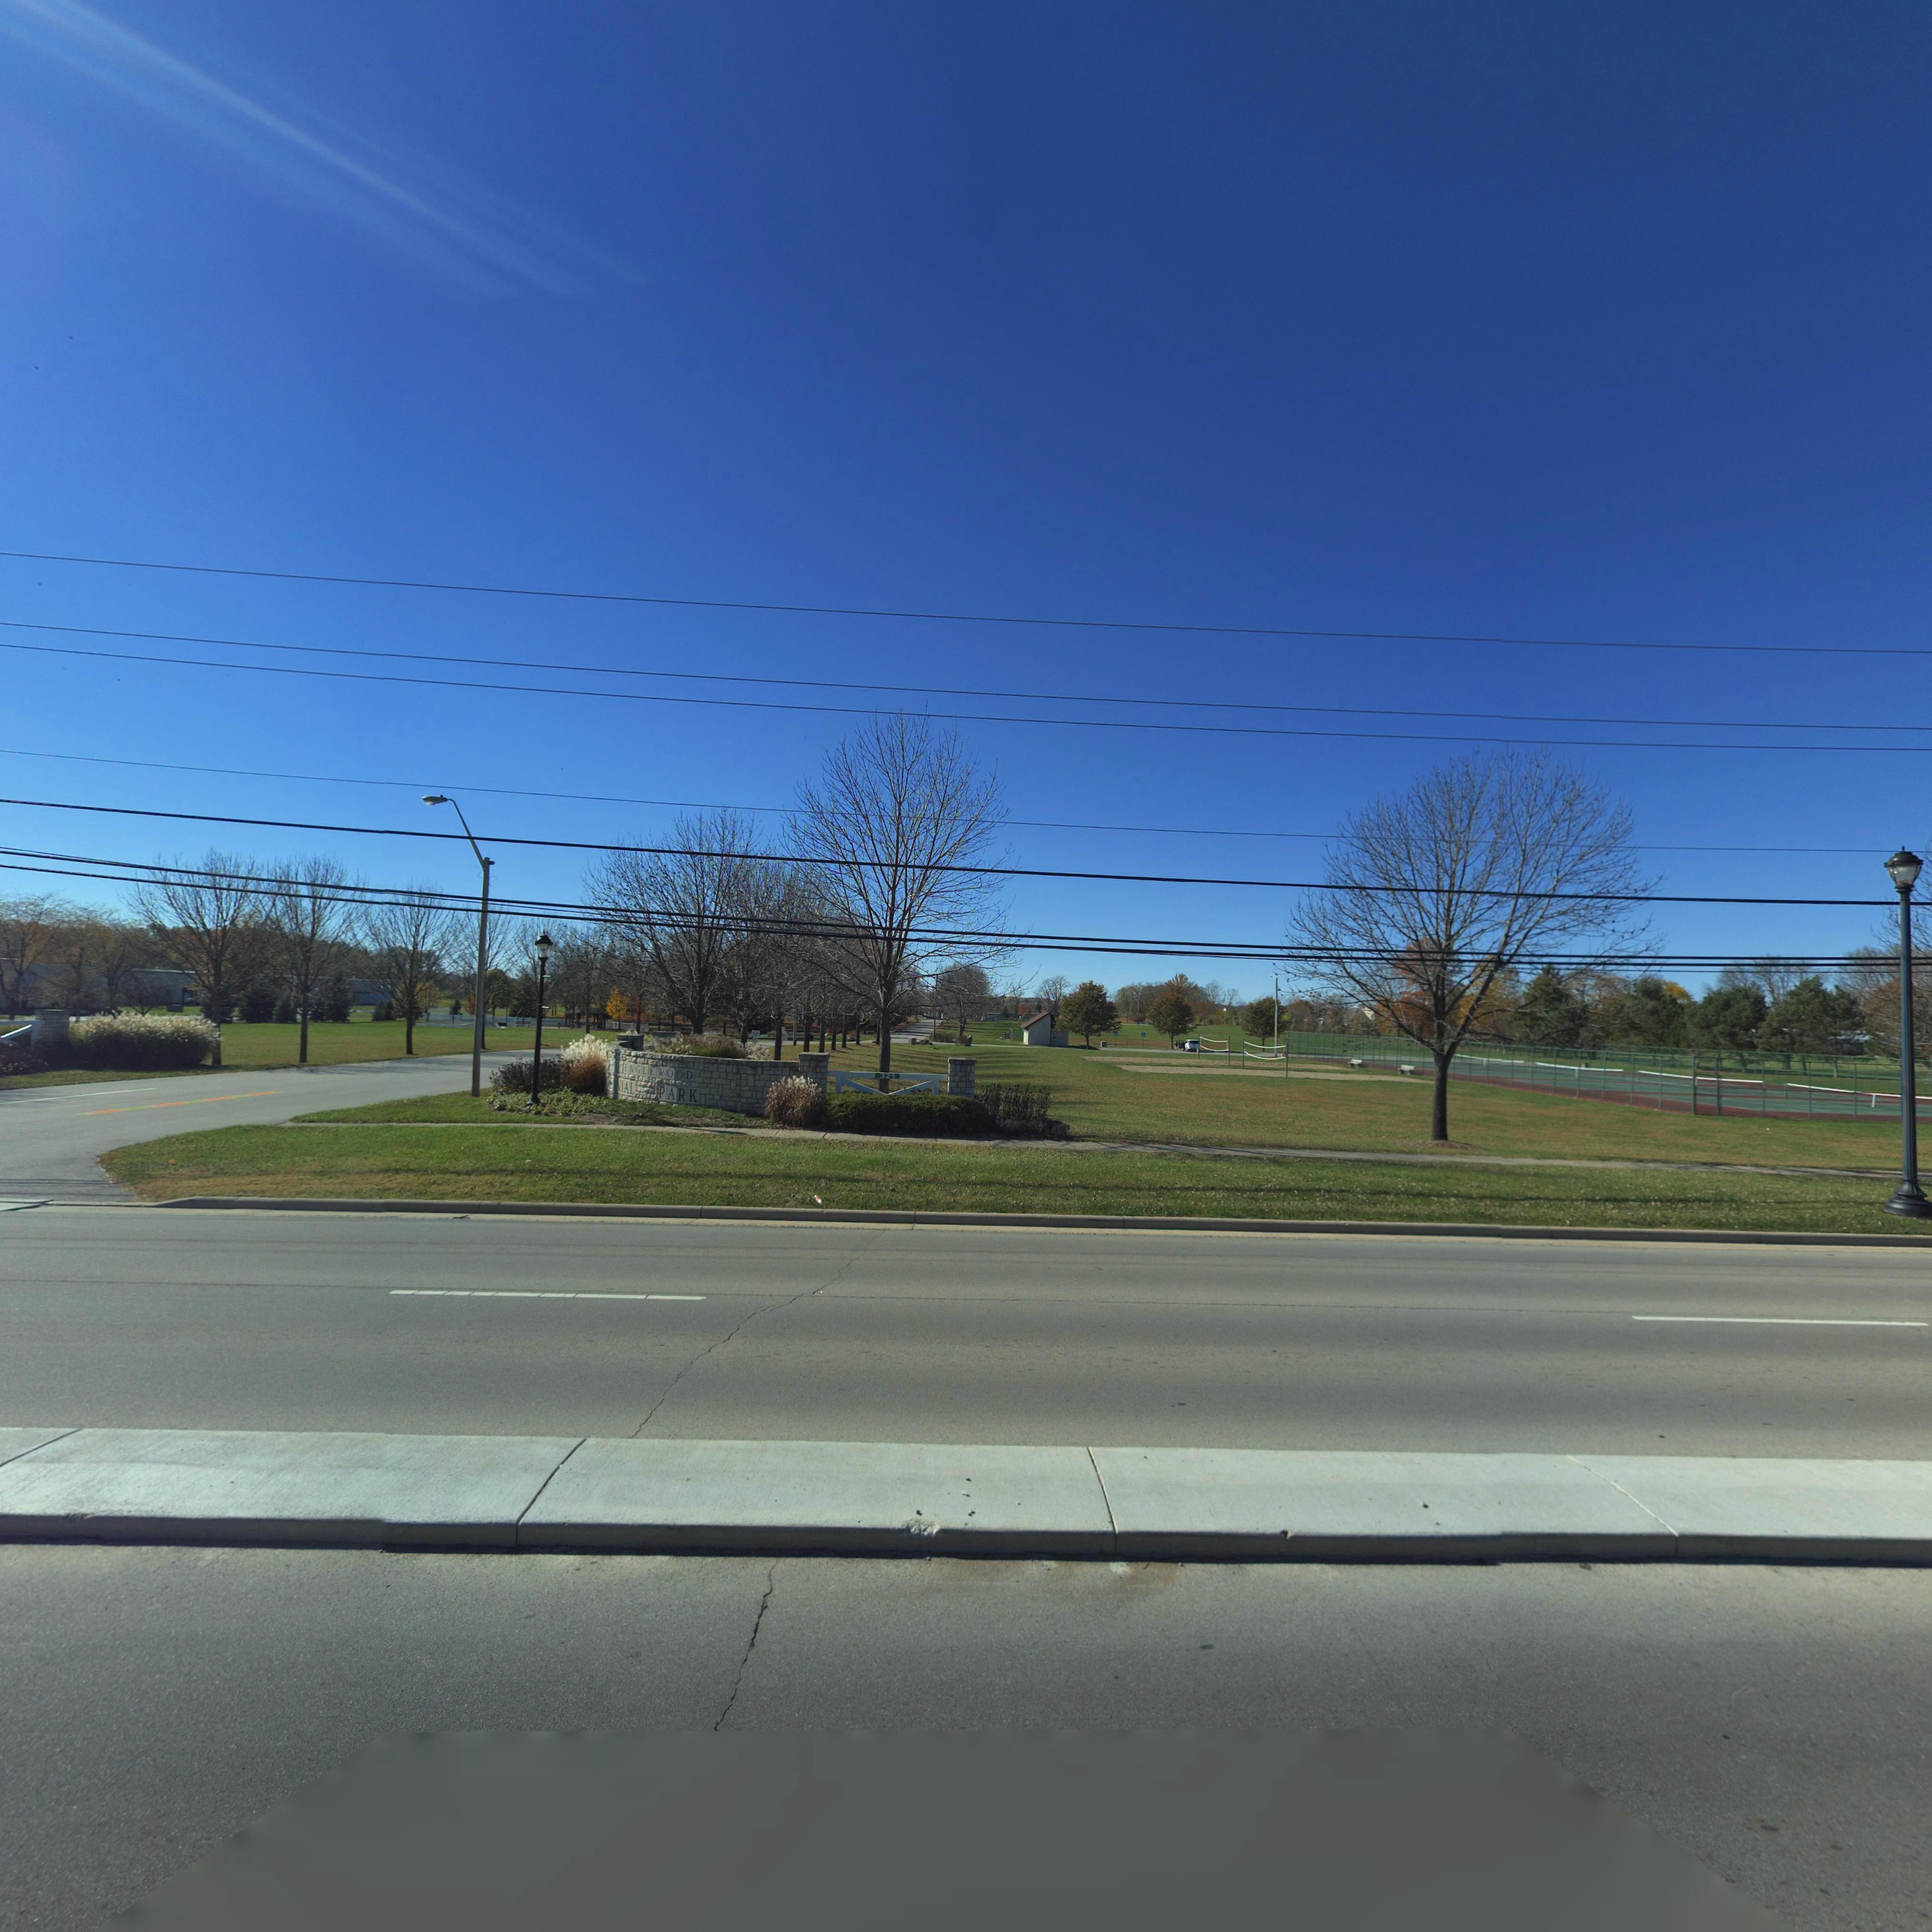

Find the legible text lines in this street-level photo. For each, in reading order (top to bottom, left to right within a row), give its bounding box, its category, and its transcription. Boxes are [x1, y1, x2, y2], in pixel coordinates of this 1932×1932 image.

[624, 1062, 693, 1080] None: ENGLEWOOD
[879, 1072, 896, 1080] StreetNumber: 321
[620, 1080, 636, 1096] None: IAL
[659, 1084, 699, 1103] None: PARK